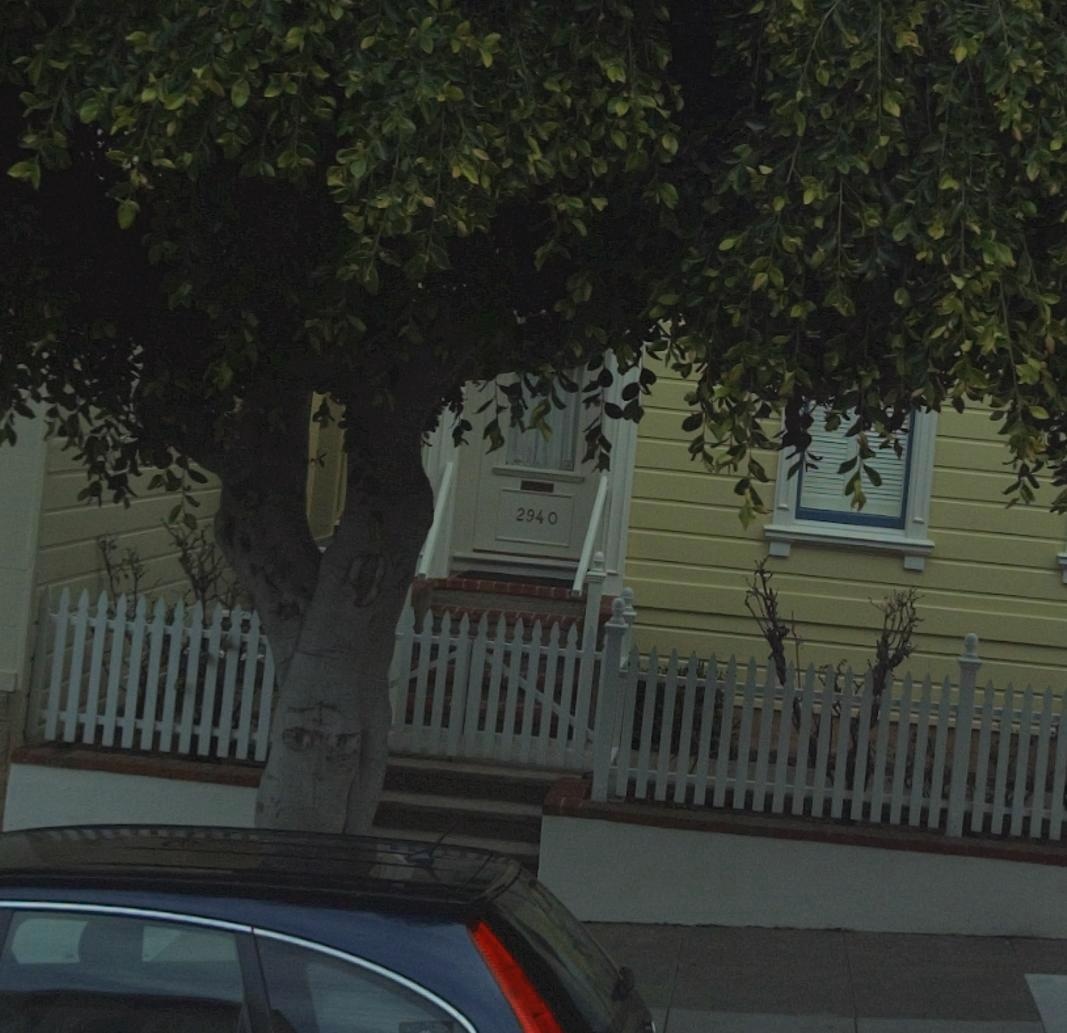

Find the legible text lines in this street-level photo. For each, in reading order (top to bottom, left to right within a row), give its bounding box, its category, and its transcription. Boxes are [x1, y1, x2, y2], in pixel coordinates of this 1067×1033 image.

[512, 503, 561, 529] StreetNumber: 2940